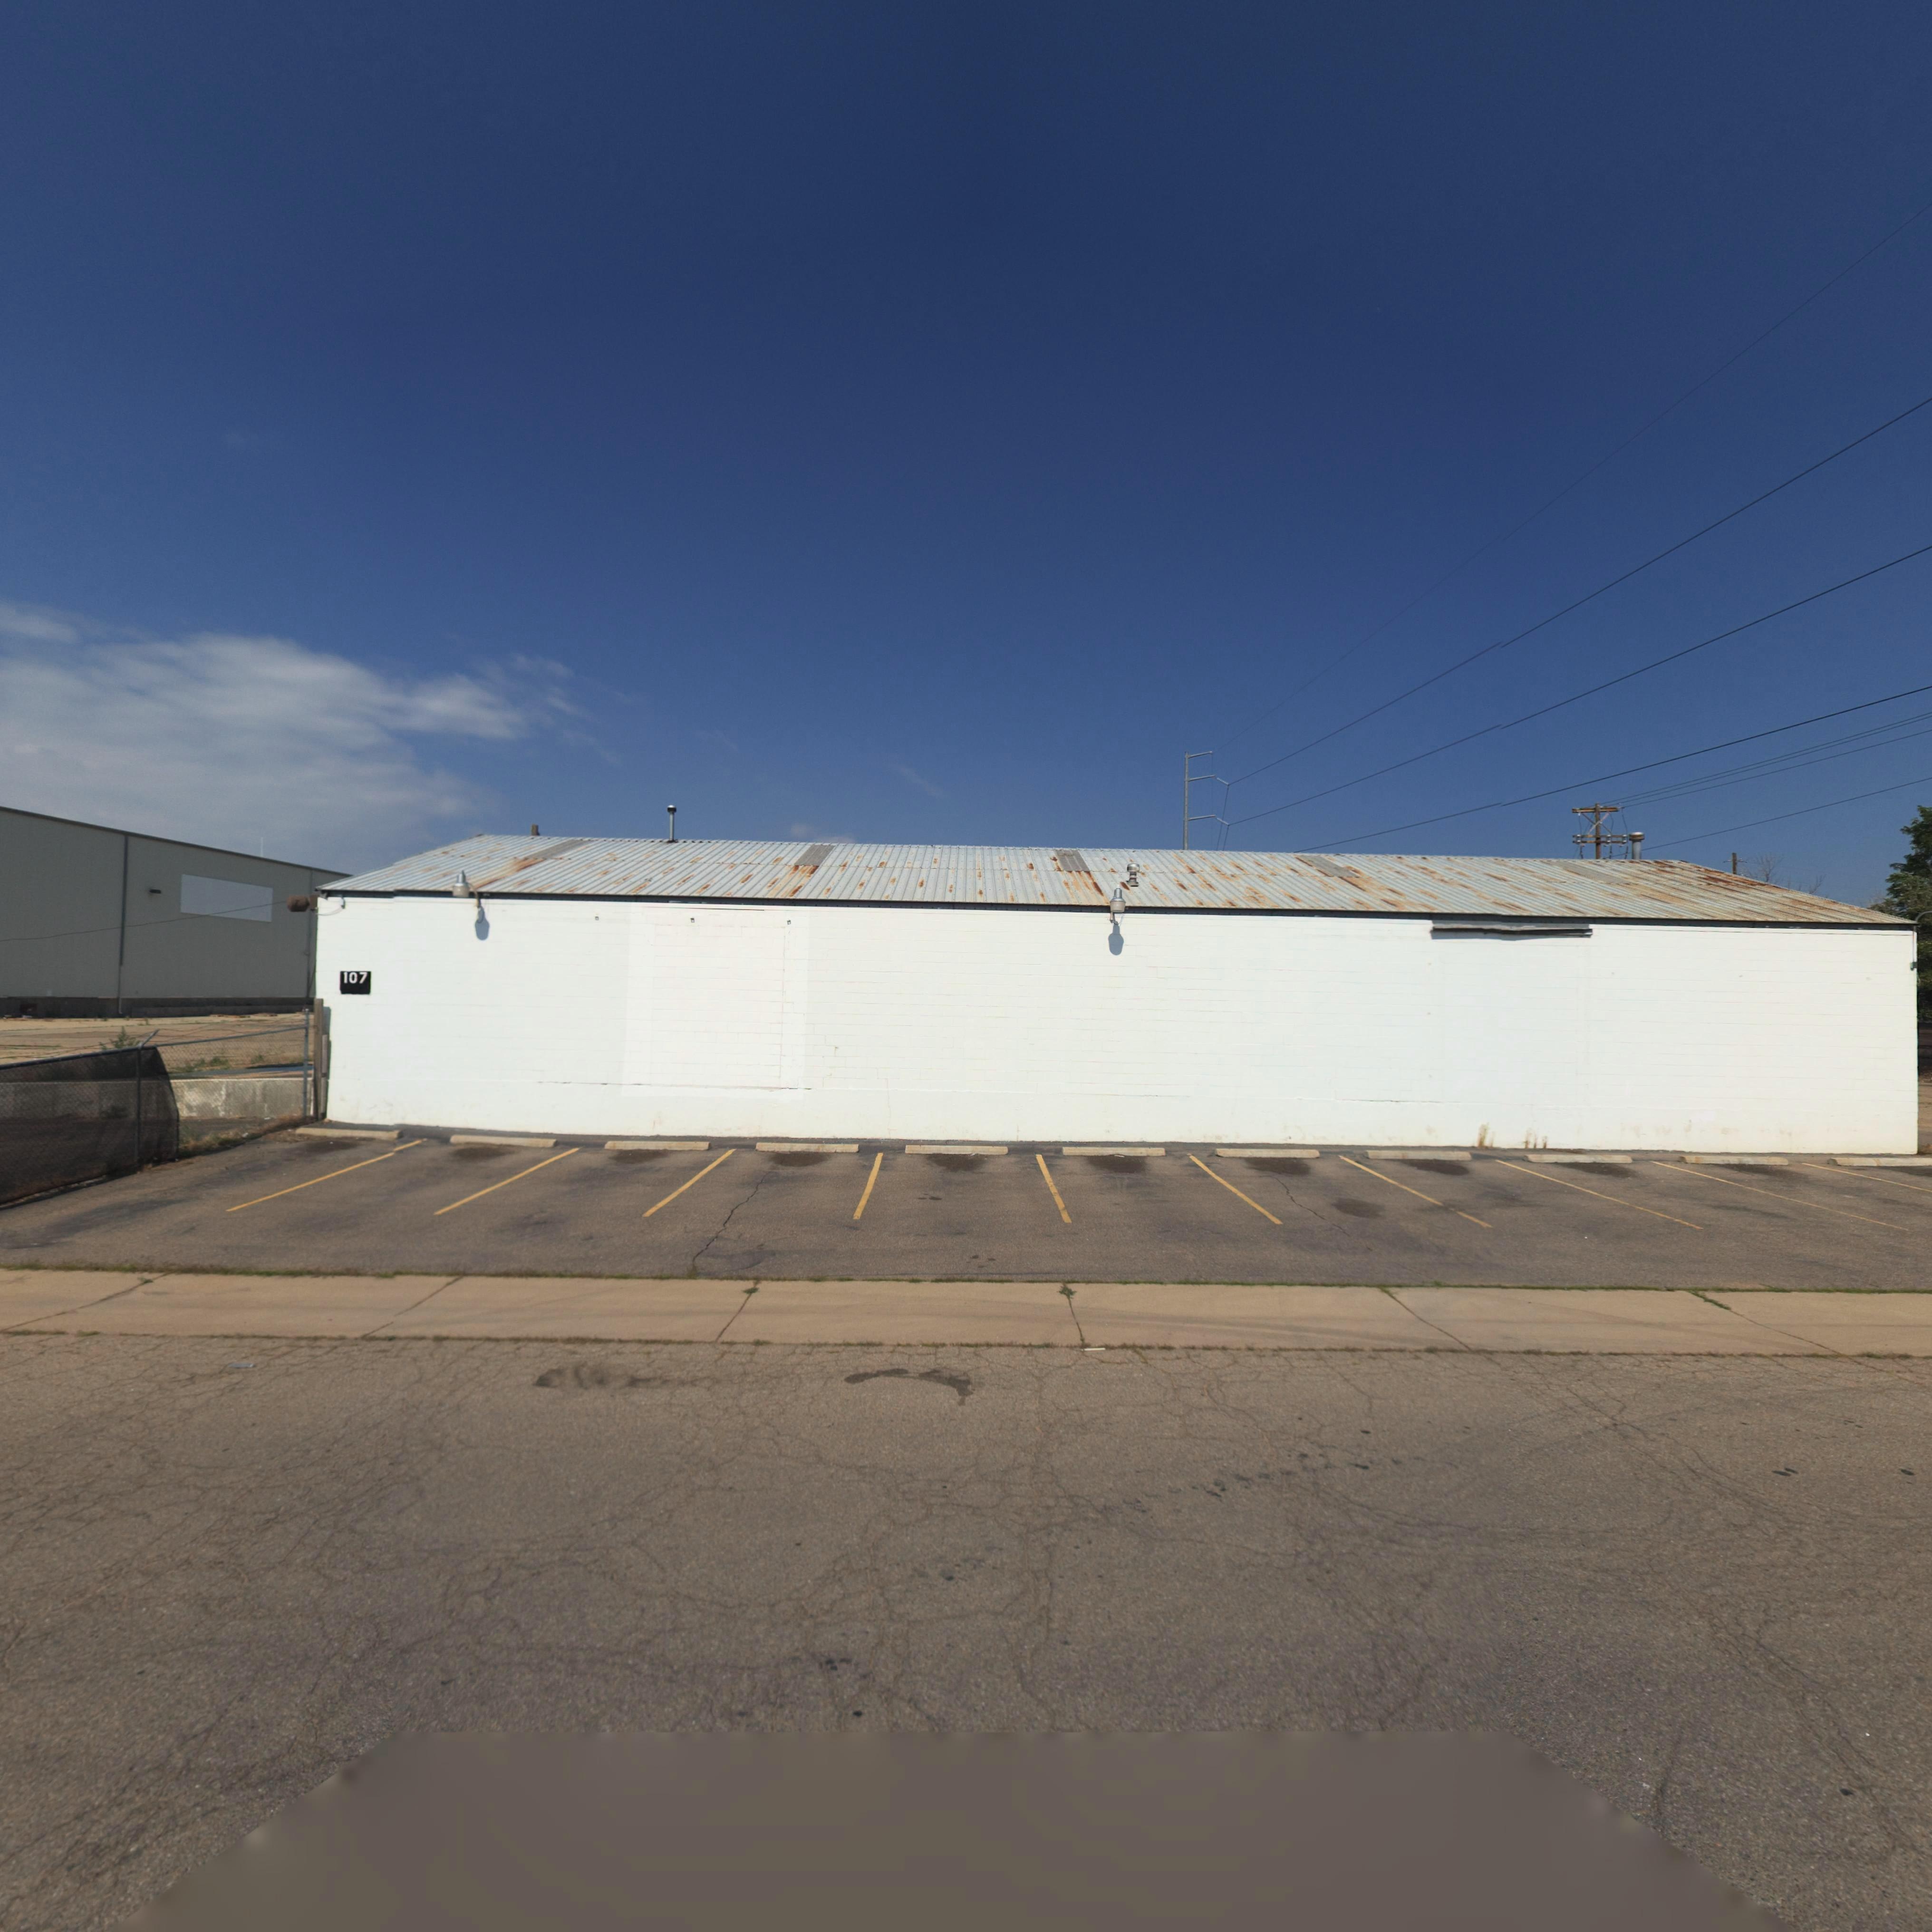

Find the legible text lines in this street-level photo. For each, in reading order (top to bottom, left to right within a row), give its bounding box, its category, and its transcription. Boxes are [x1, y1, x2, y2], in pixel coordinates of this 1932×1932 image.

[343, 971, 367, 984] StreetNumber: 107